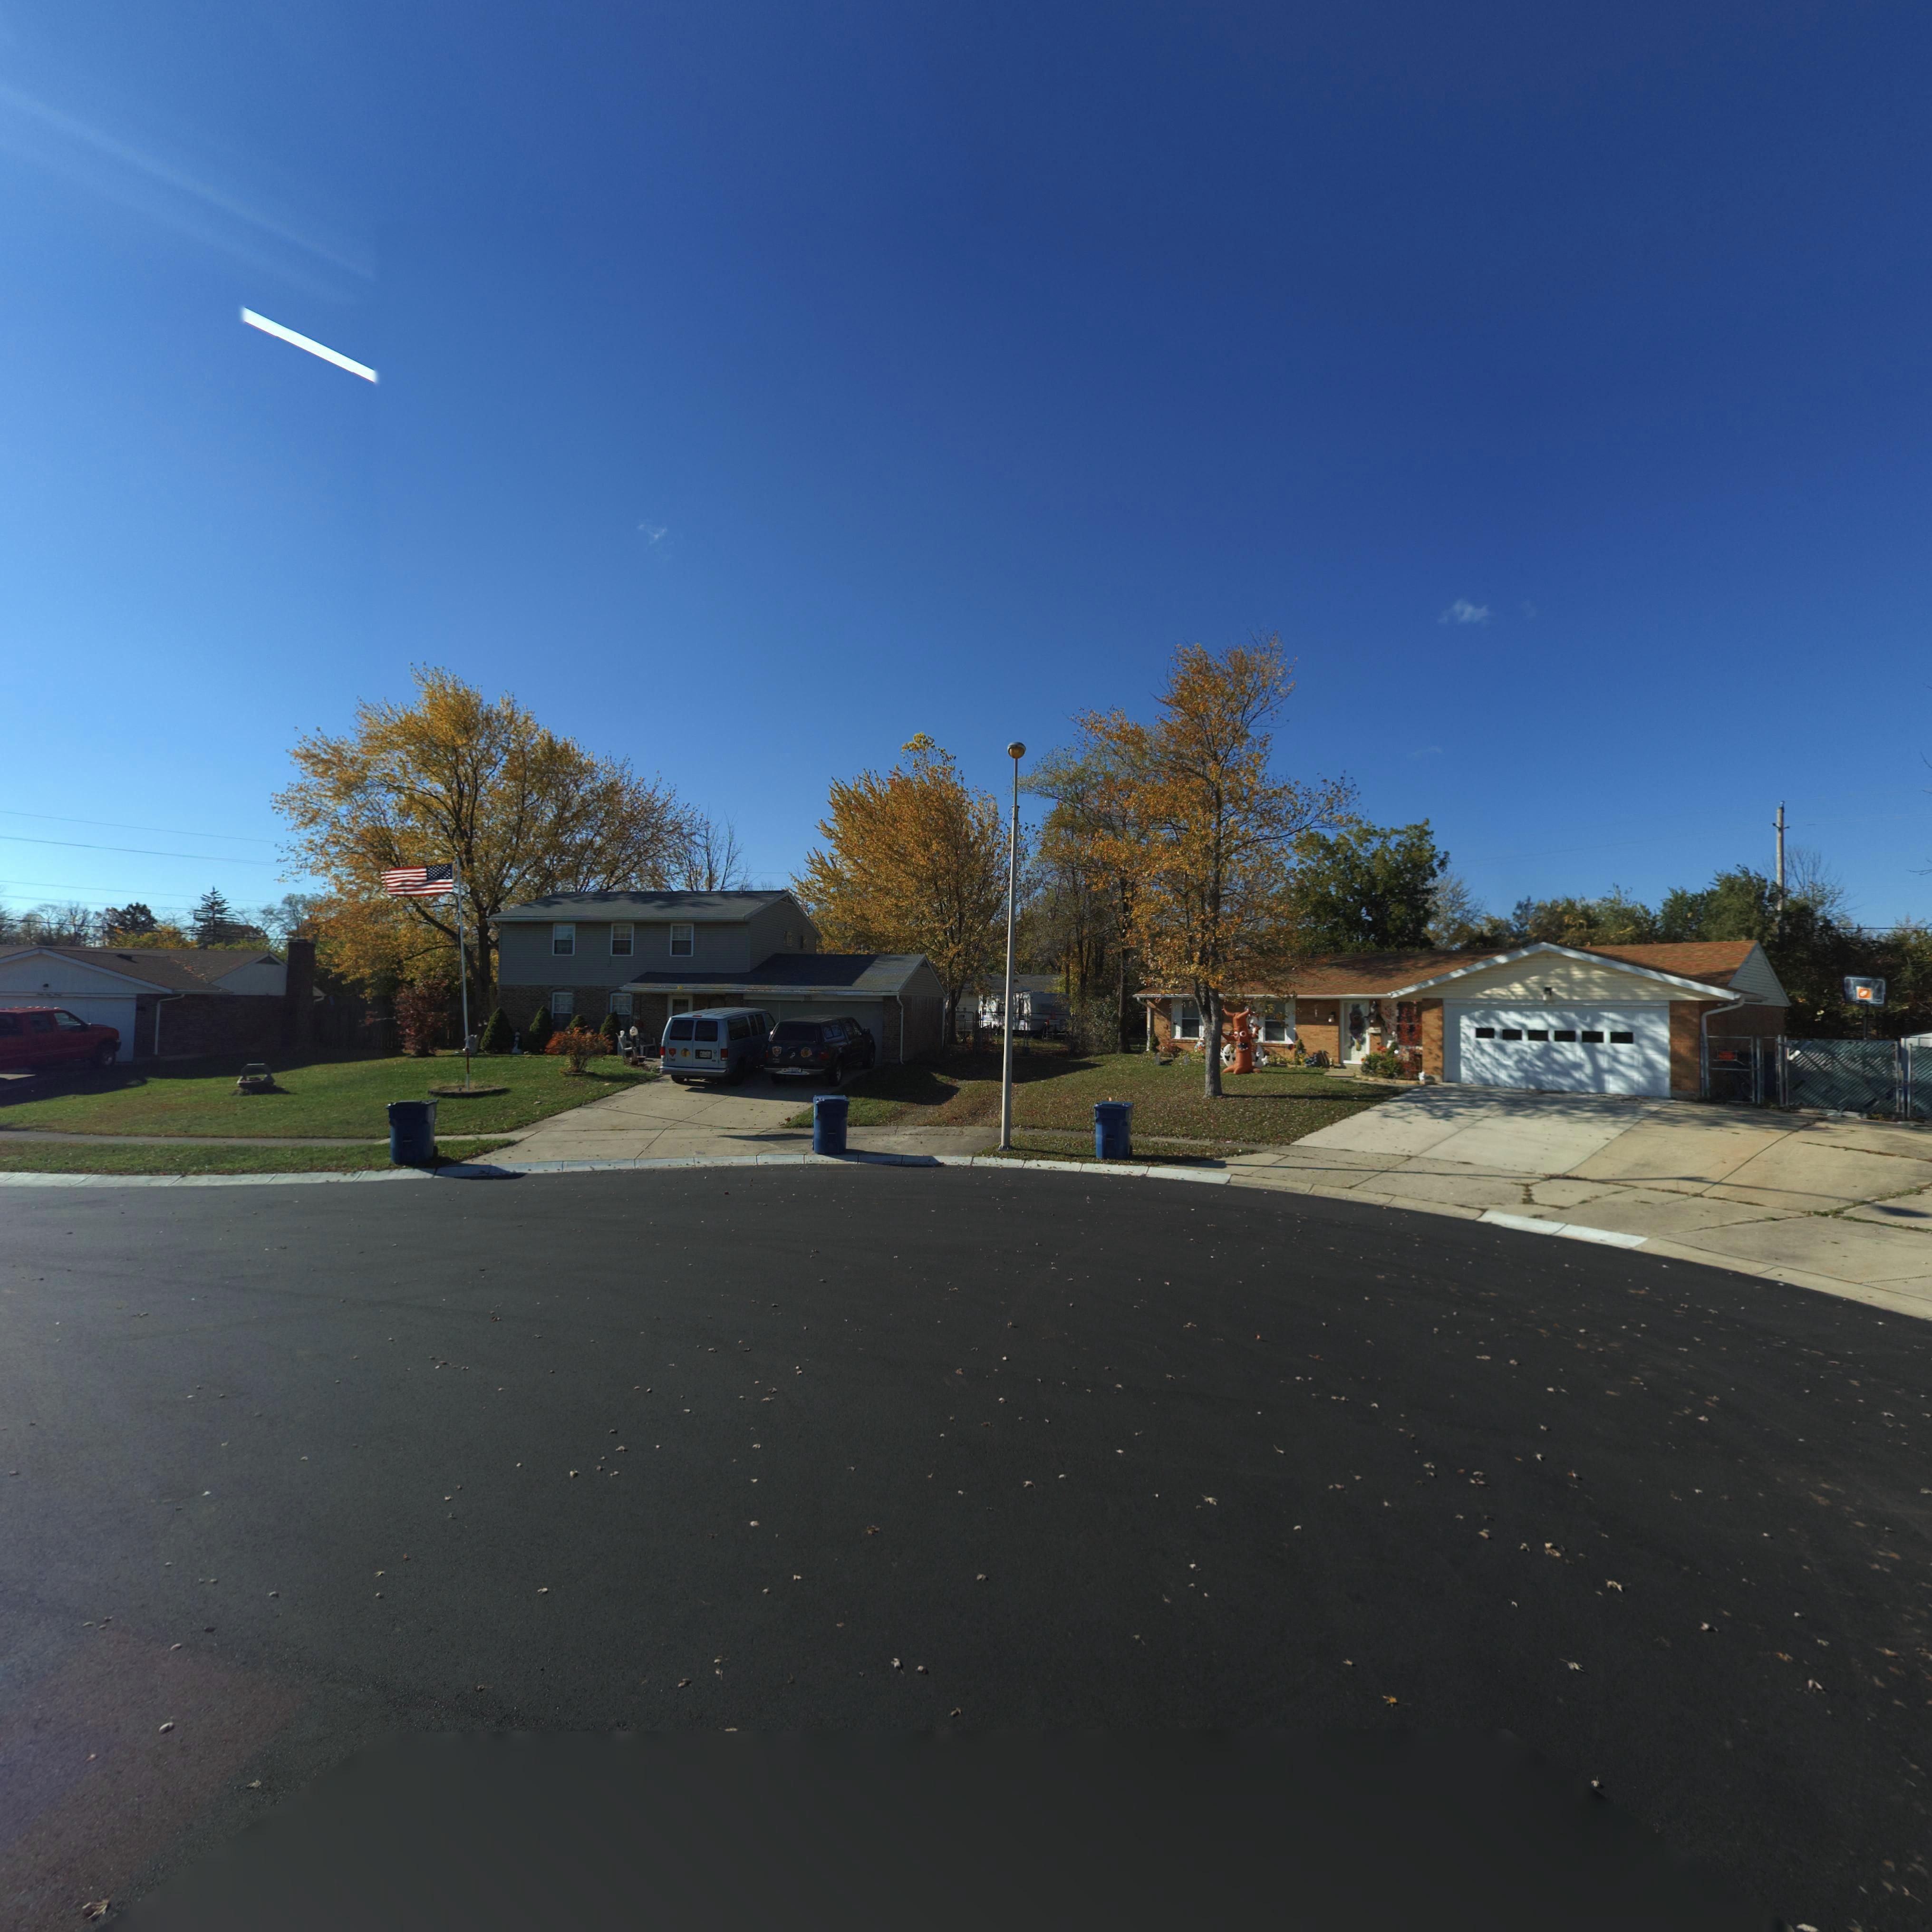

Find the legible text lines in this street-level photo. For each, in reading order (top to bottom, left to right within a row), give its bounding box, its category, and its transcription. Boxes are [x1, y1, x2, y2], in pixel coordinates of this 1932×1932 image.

[803, 996, 813, 1001] StreetNumber: 6*20
[1543, 999, 1556, 1005] StreetNumber: ***0